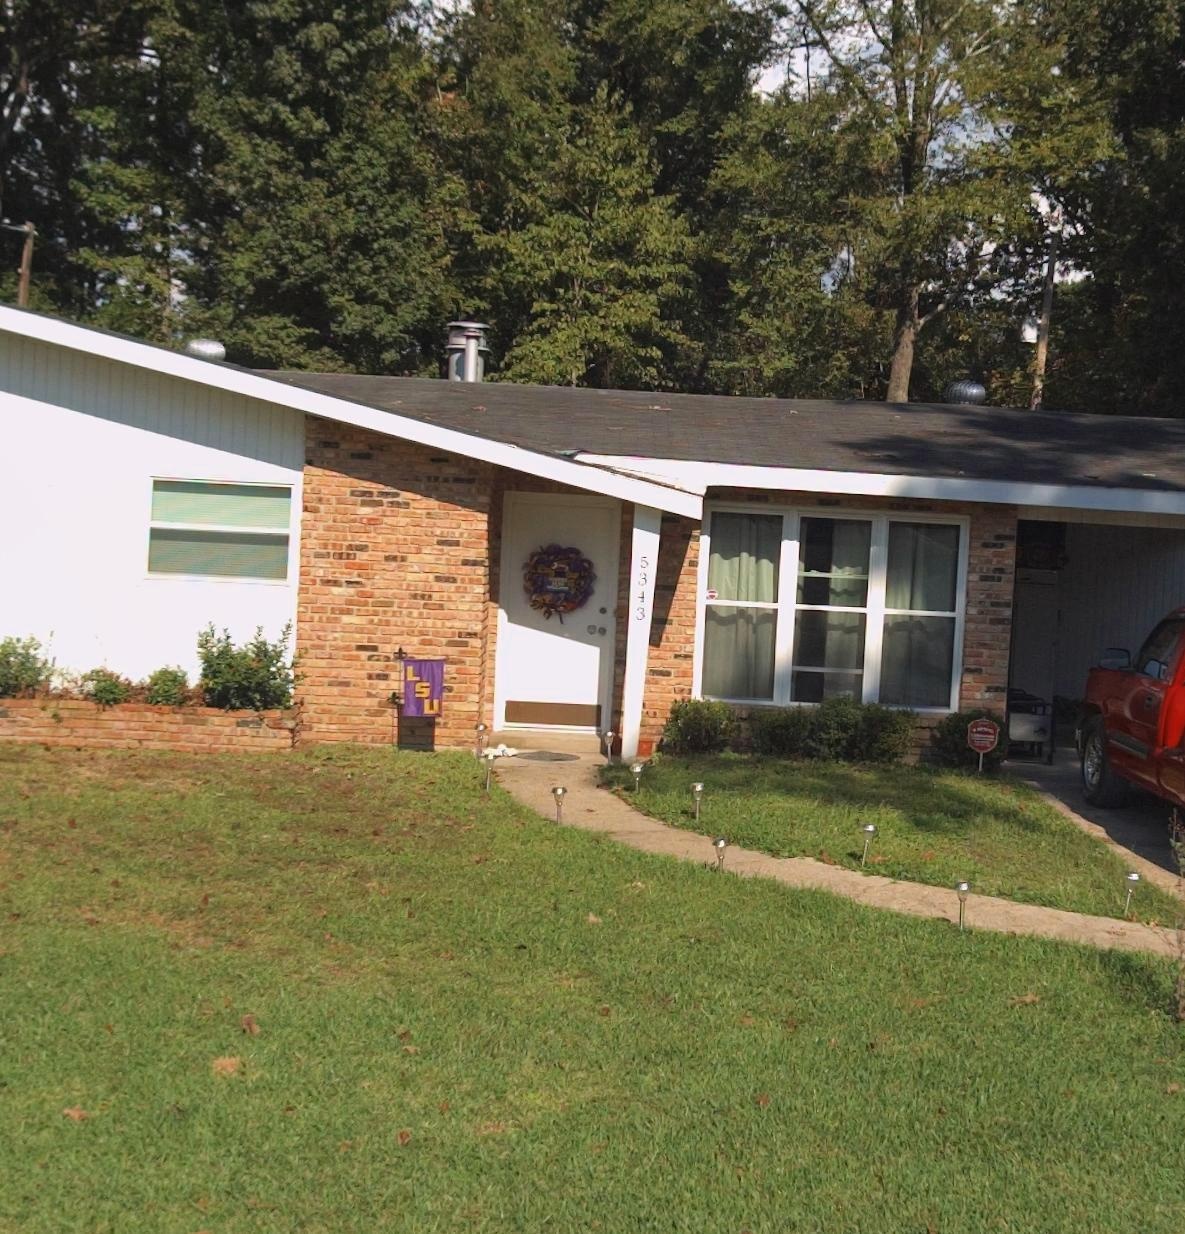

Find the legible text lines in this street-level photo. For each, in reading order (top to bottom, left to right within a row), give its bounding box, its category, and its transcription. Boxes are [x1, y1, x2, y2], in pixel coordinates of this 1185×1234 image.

[635, 556, 649, 621] StreetNumber: 5343
[406, 665, 440, 716] None: LSU